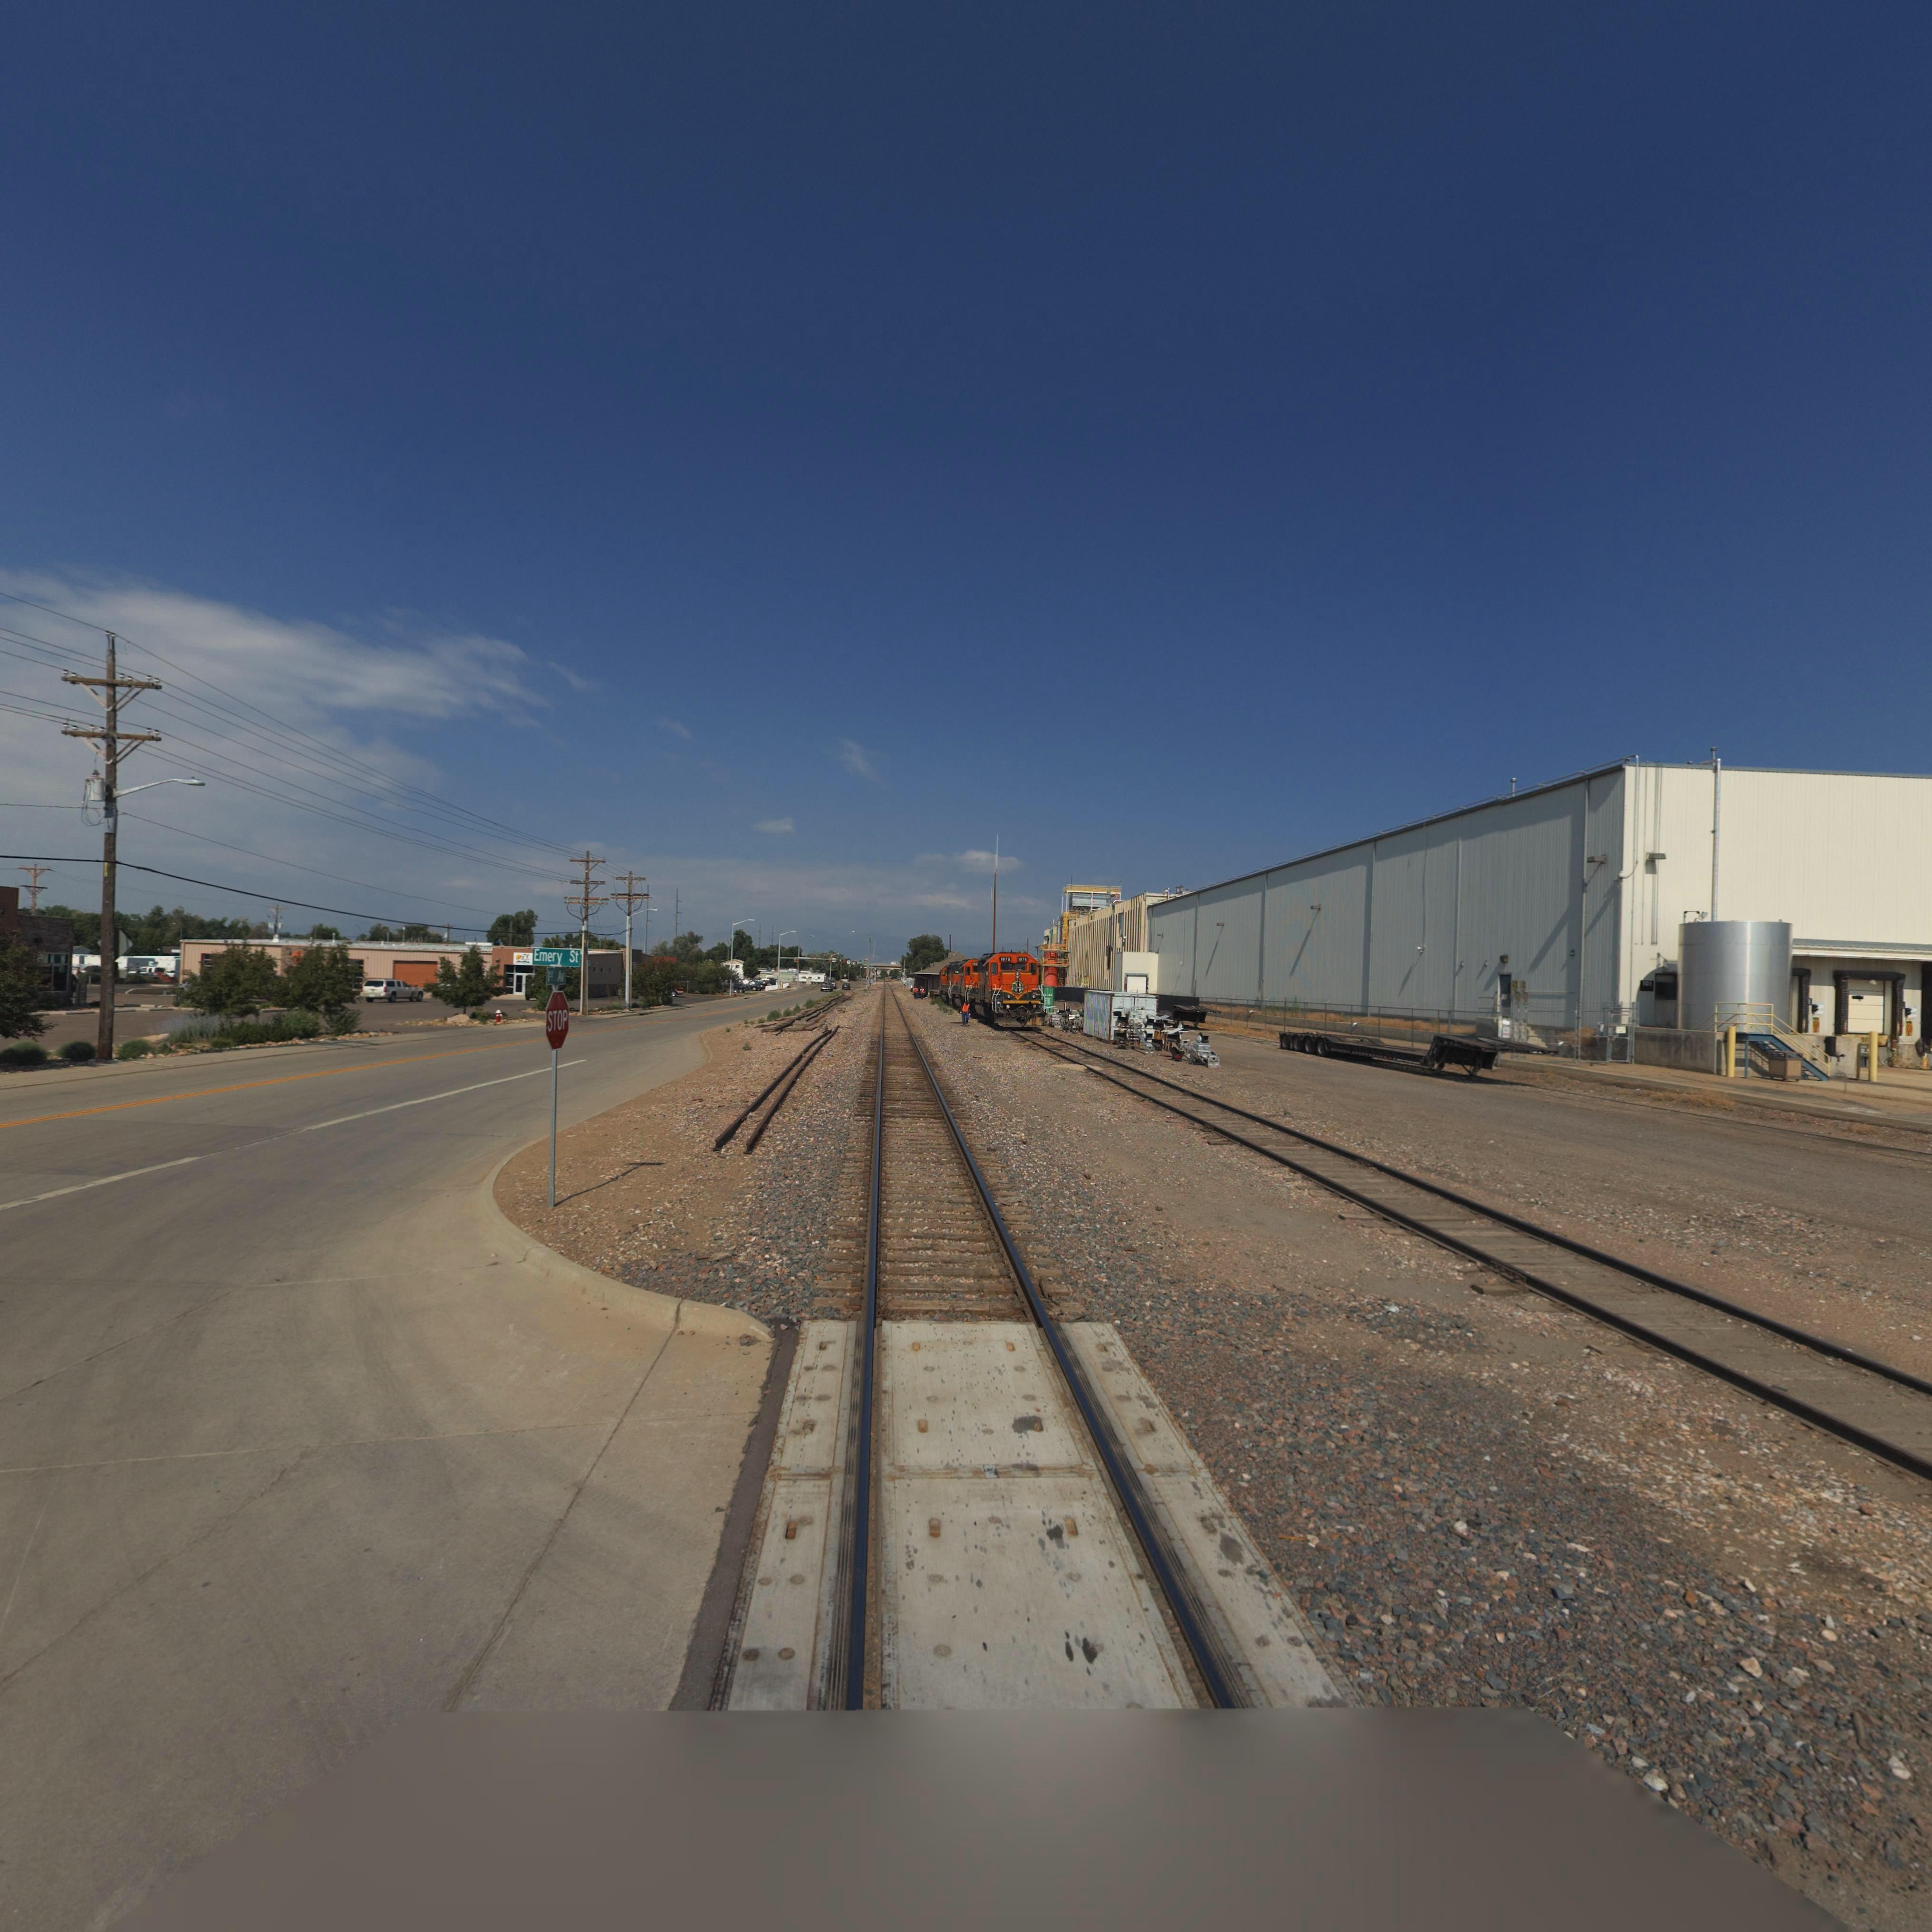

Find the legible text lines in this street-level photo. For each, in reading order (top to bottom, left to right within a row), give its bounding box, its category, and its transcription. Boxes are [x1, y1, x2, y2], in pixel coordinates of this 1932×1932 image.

[533, 948, 579, 965] StreetName: Emery St
[547, 969, 565, 983] StreetName: 1st Av
[1642, 980, 1652, 986] StreetNumber: 101